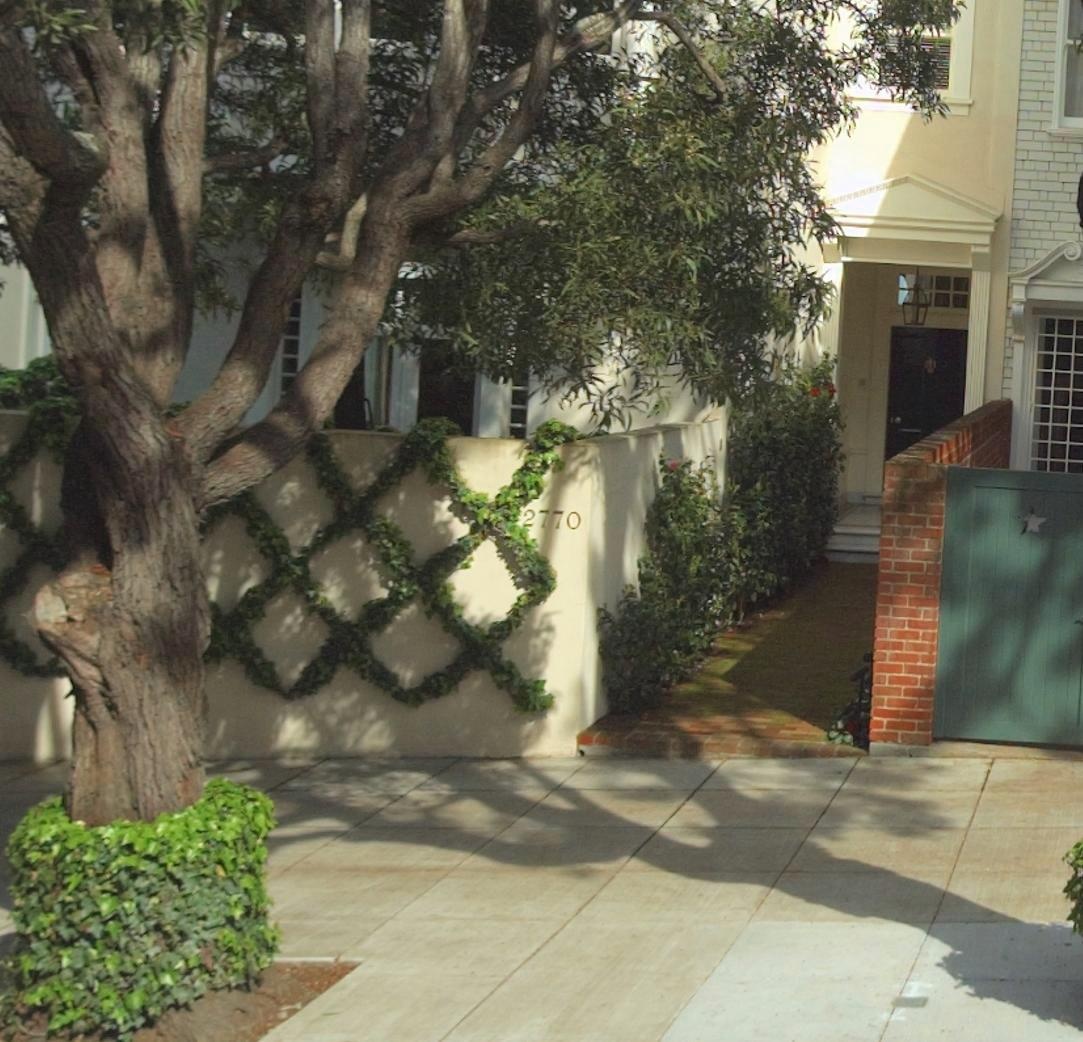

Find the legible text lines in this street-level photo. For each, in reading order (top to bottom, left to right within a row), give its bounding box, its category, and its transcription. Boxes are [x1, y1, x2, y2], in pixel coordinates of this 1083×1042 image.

[521, 506, 583, 533] StreetNumber: 2770